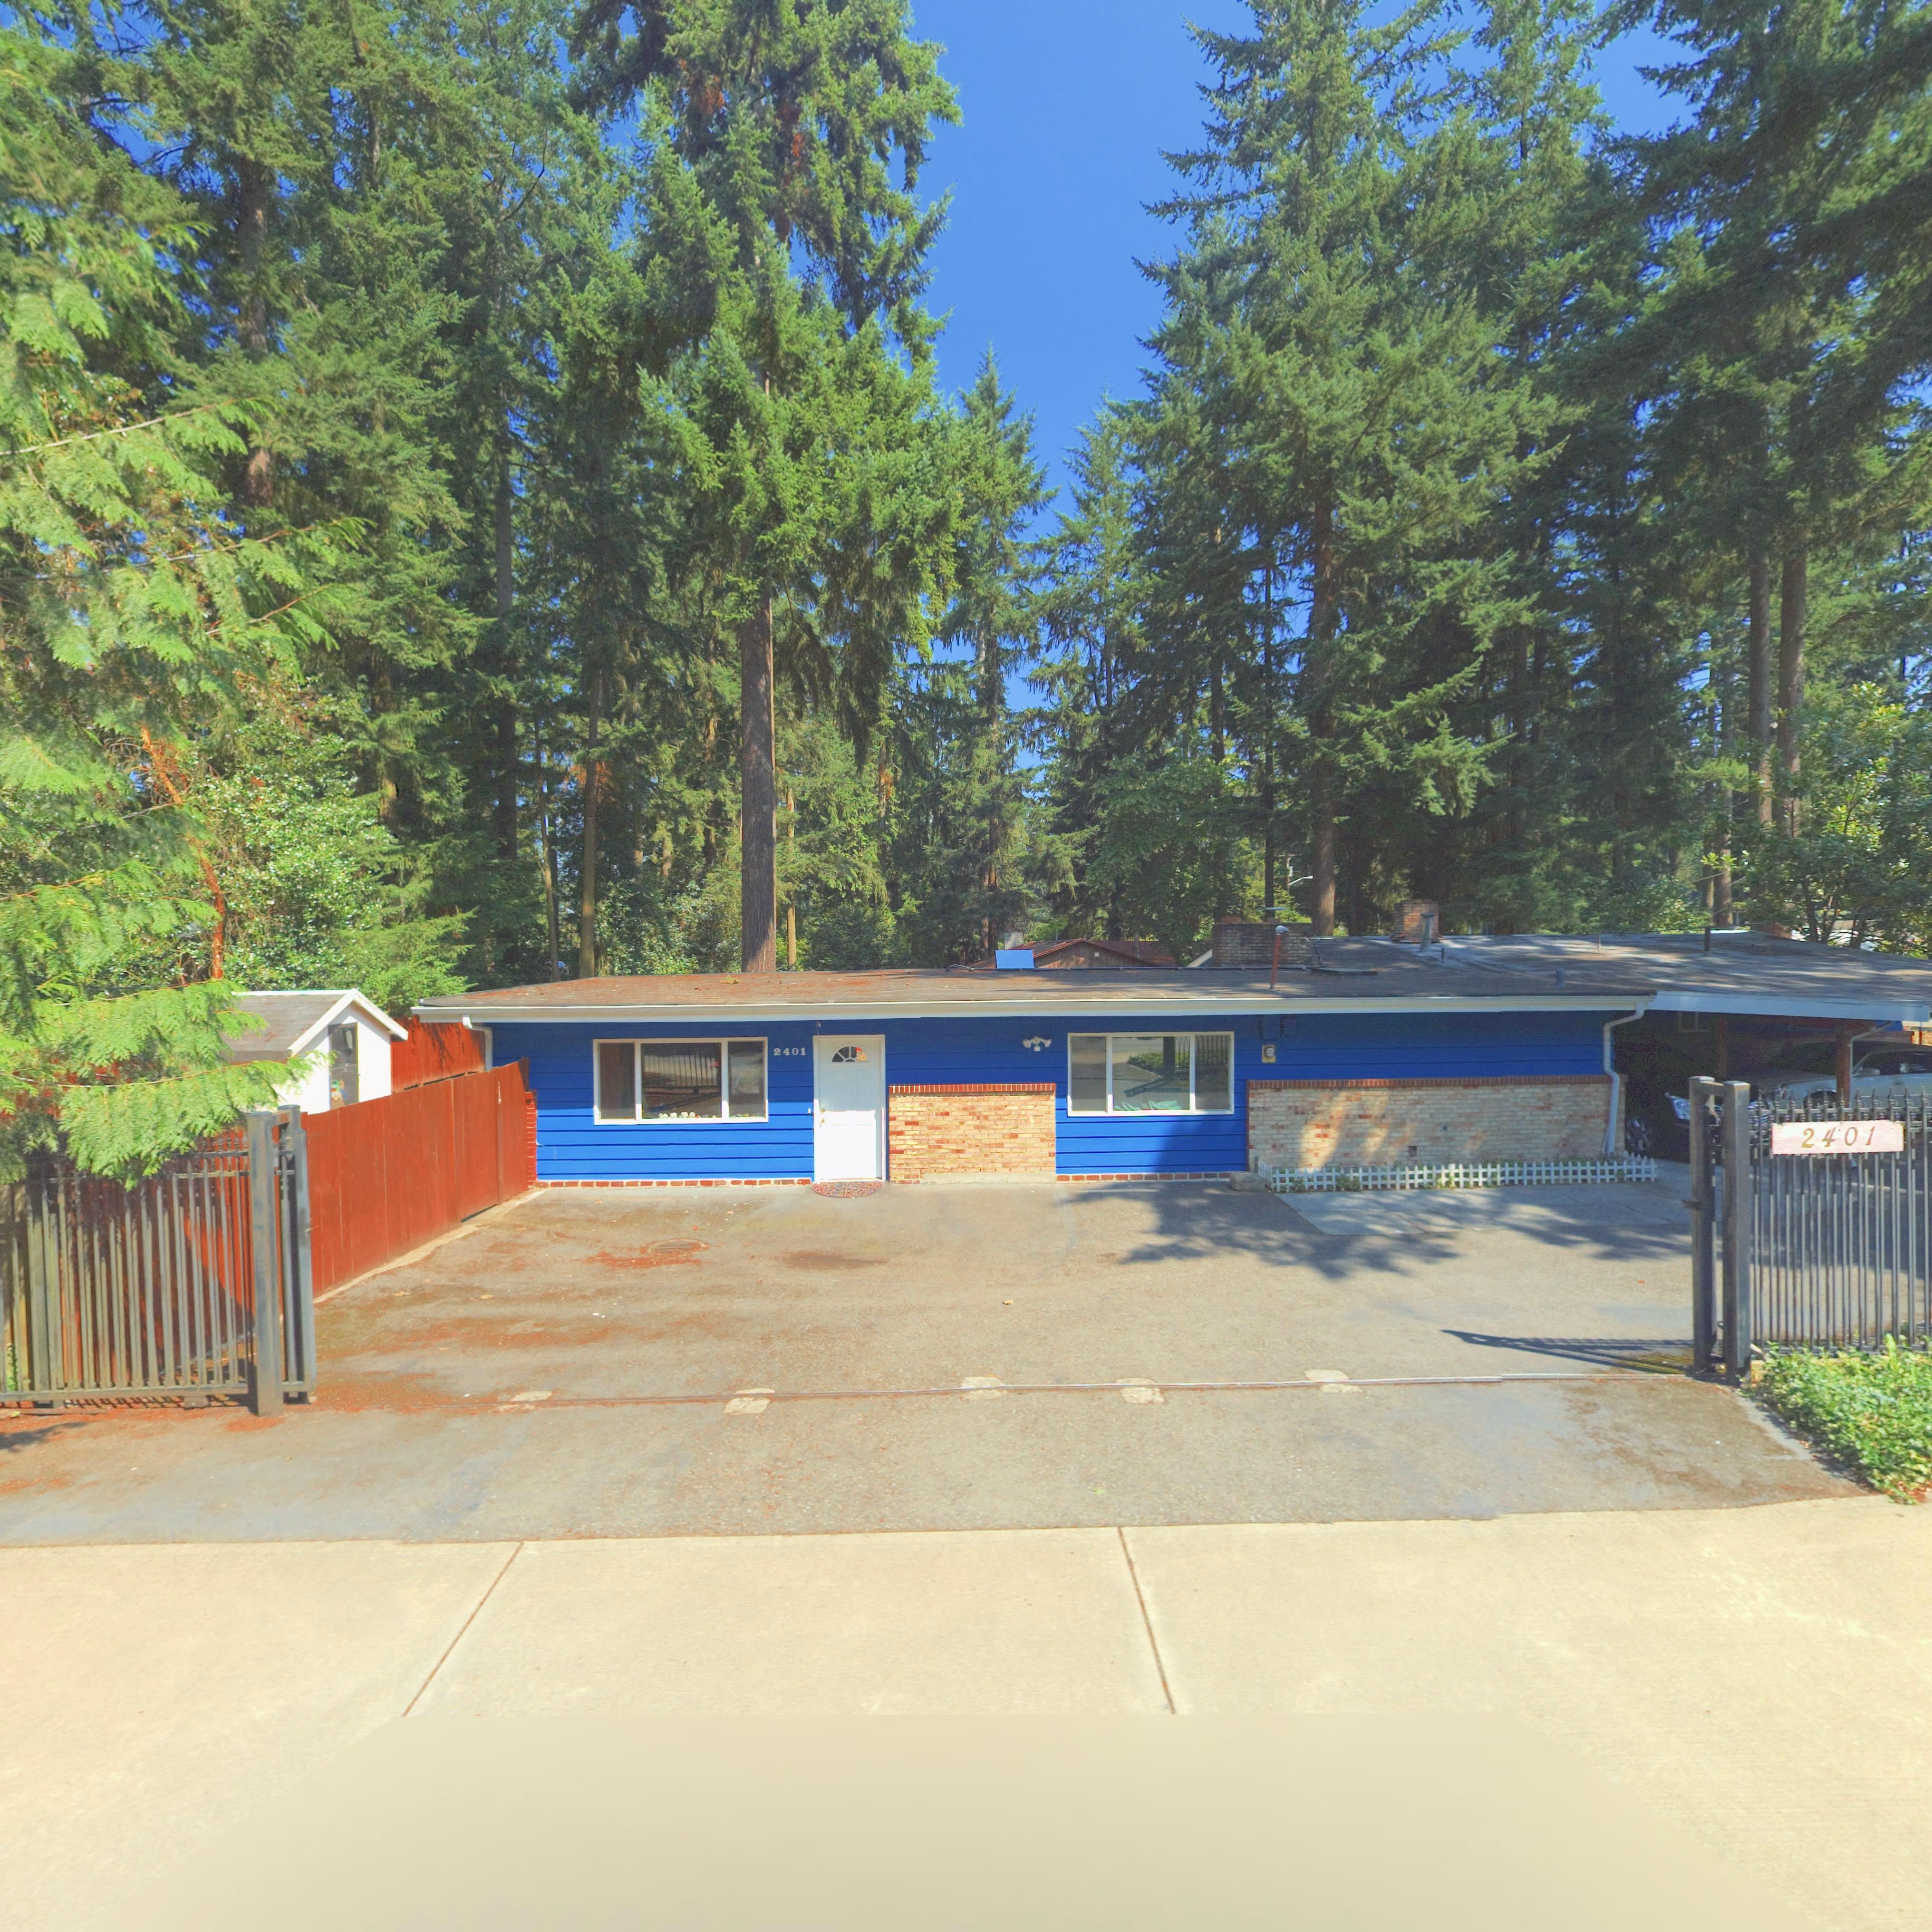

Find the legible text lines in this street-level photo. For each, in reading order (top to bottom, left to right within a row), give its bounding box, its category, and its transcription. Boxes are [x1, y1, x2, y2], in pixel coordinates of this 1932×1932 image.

[772, 1046, 807, 1057] StreetNumber: 2401
[1800, 1125, 1878, 1149] StreetNumber: 2401